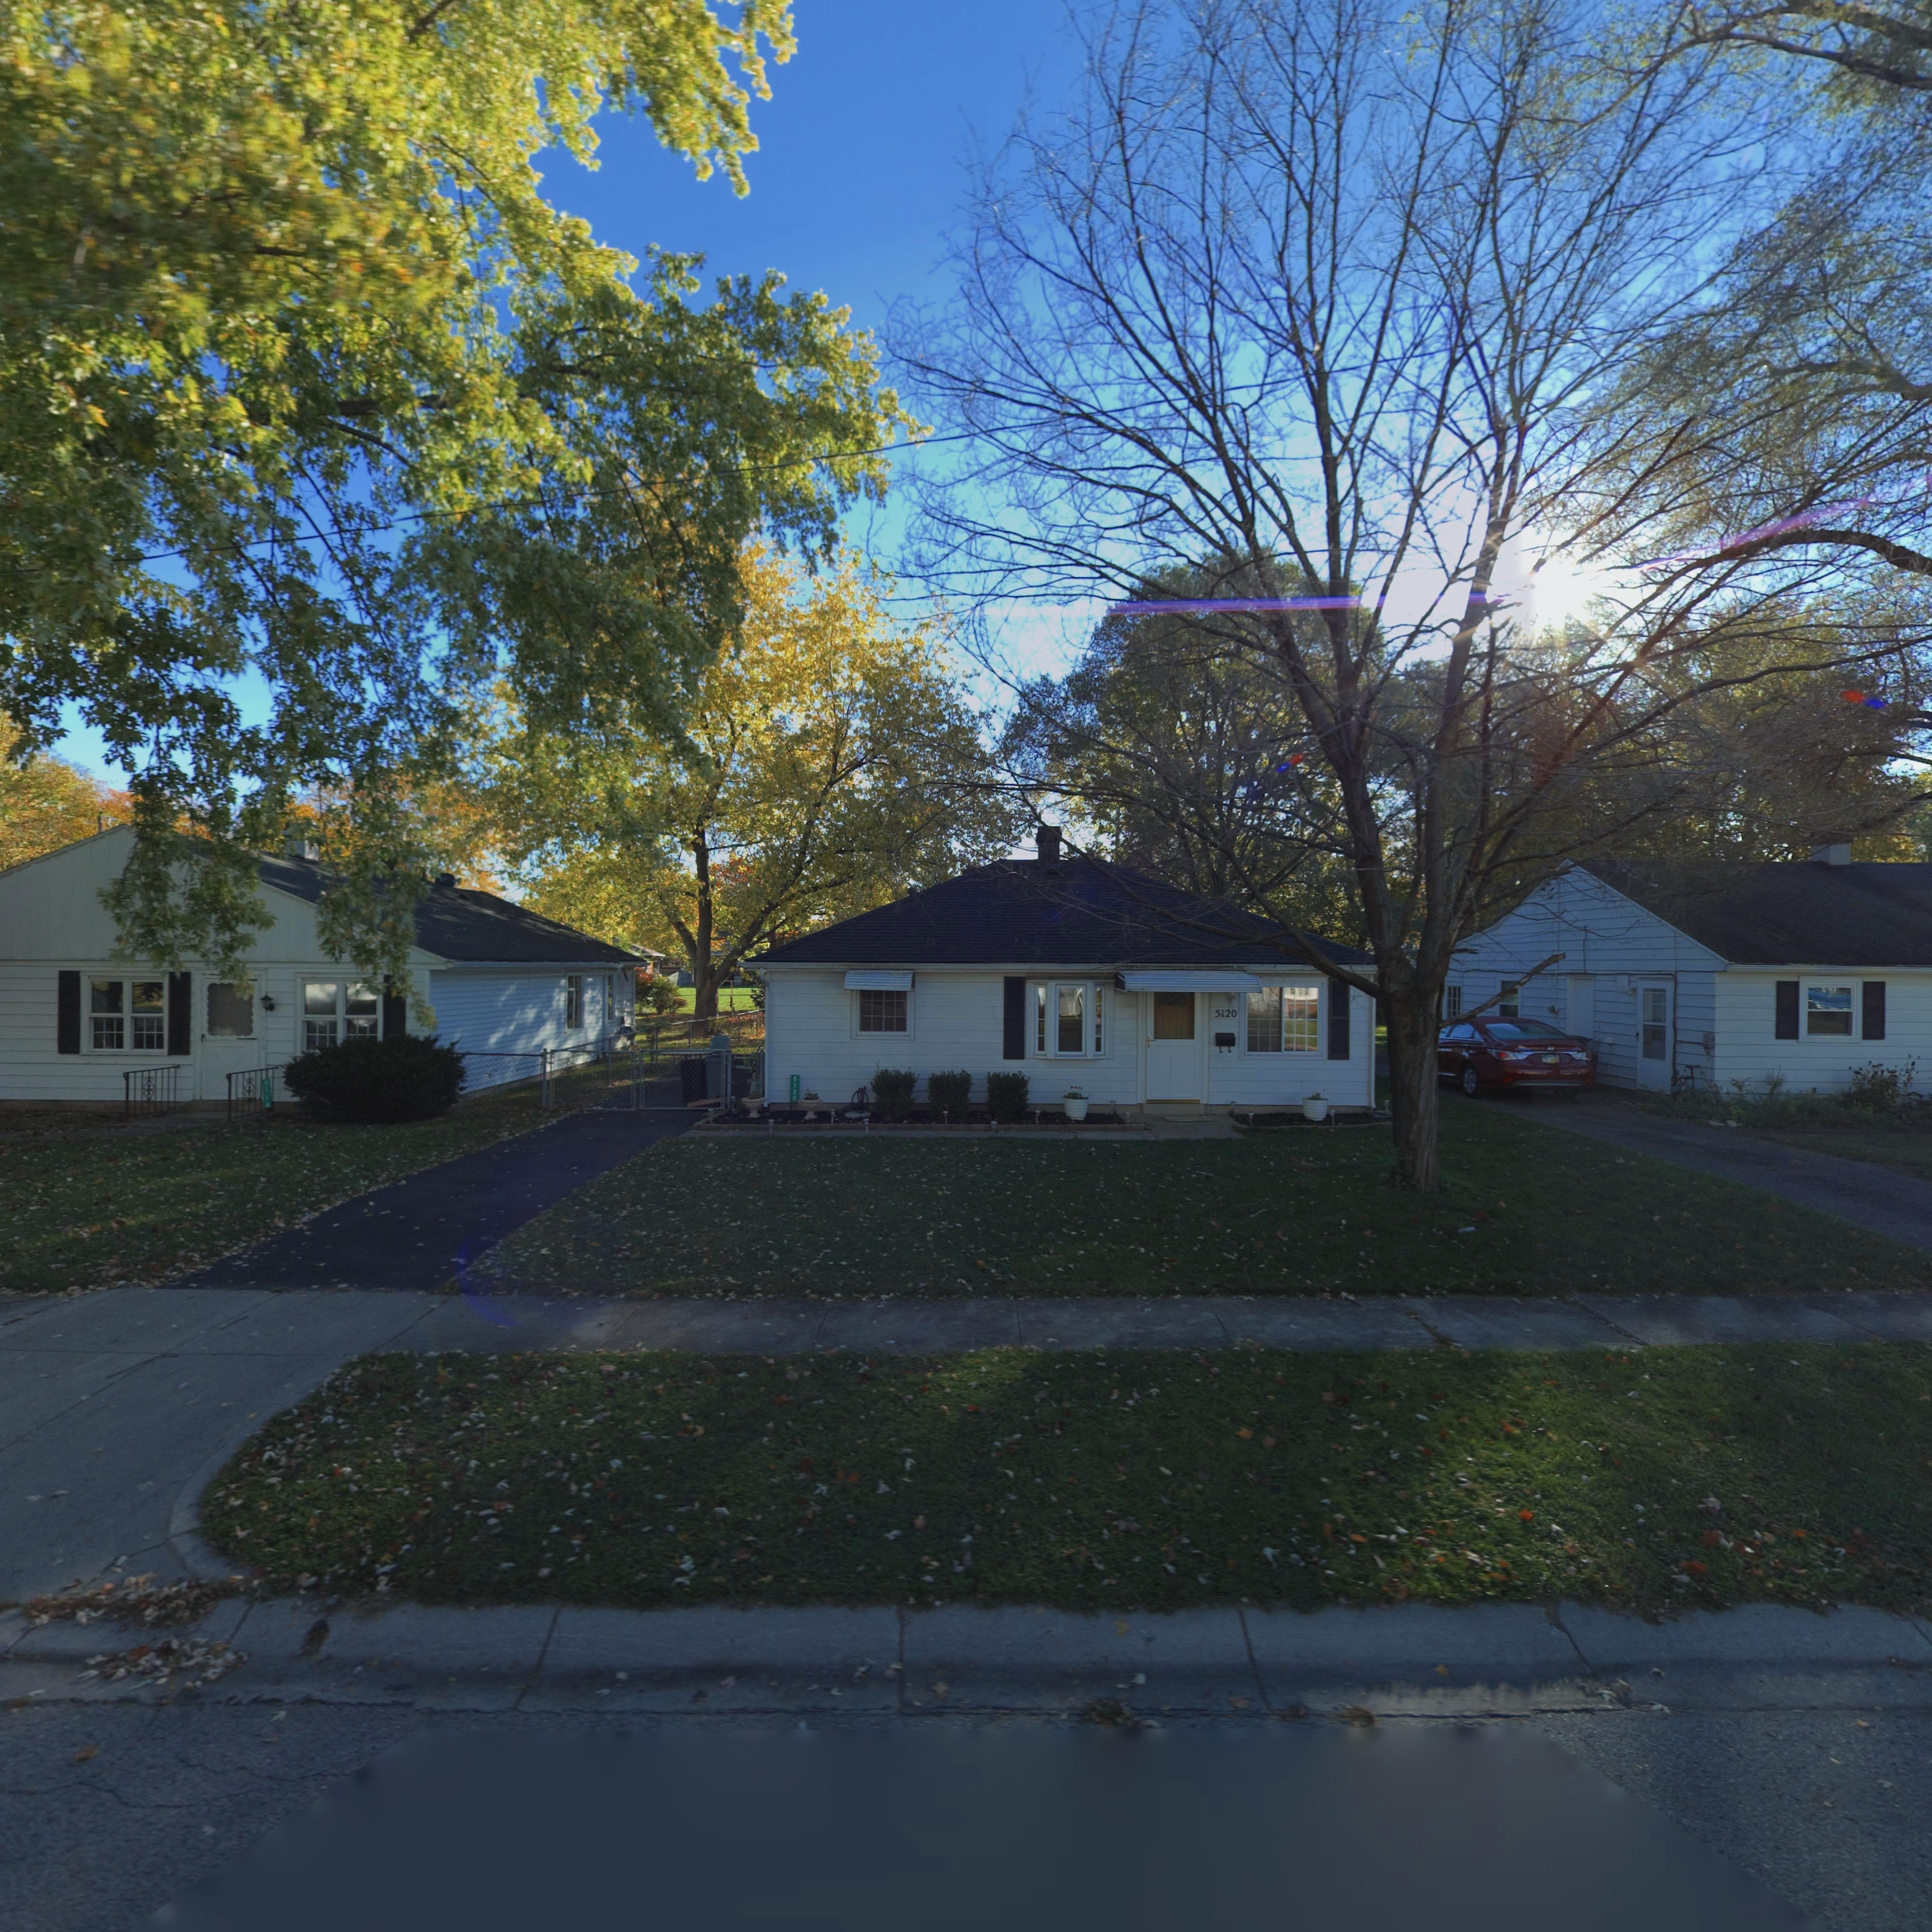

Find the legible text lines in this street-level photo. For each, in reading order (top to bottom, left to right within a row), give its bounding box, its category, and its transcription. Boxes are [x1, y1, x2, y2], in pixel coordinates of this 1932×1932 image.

[1214, 1009, 1237, 1018] StreetNumber: 5120
[261, 1015, 266, 1051] StreetNumber: 5116
[263, 1079, 270, 1108] StreetNumber: 5116
[792, 1075, 797, 1101] StreetNumber: 5120